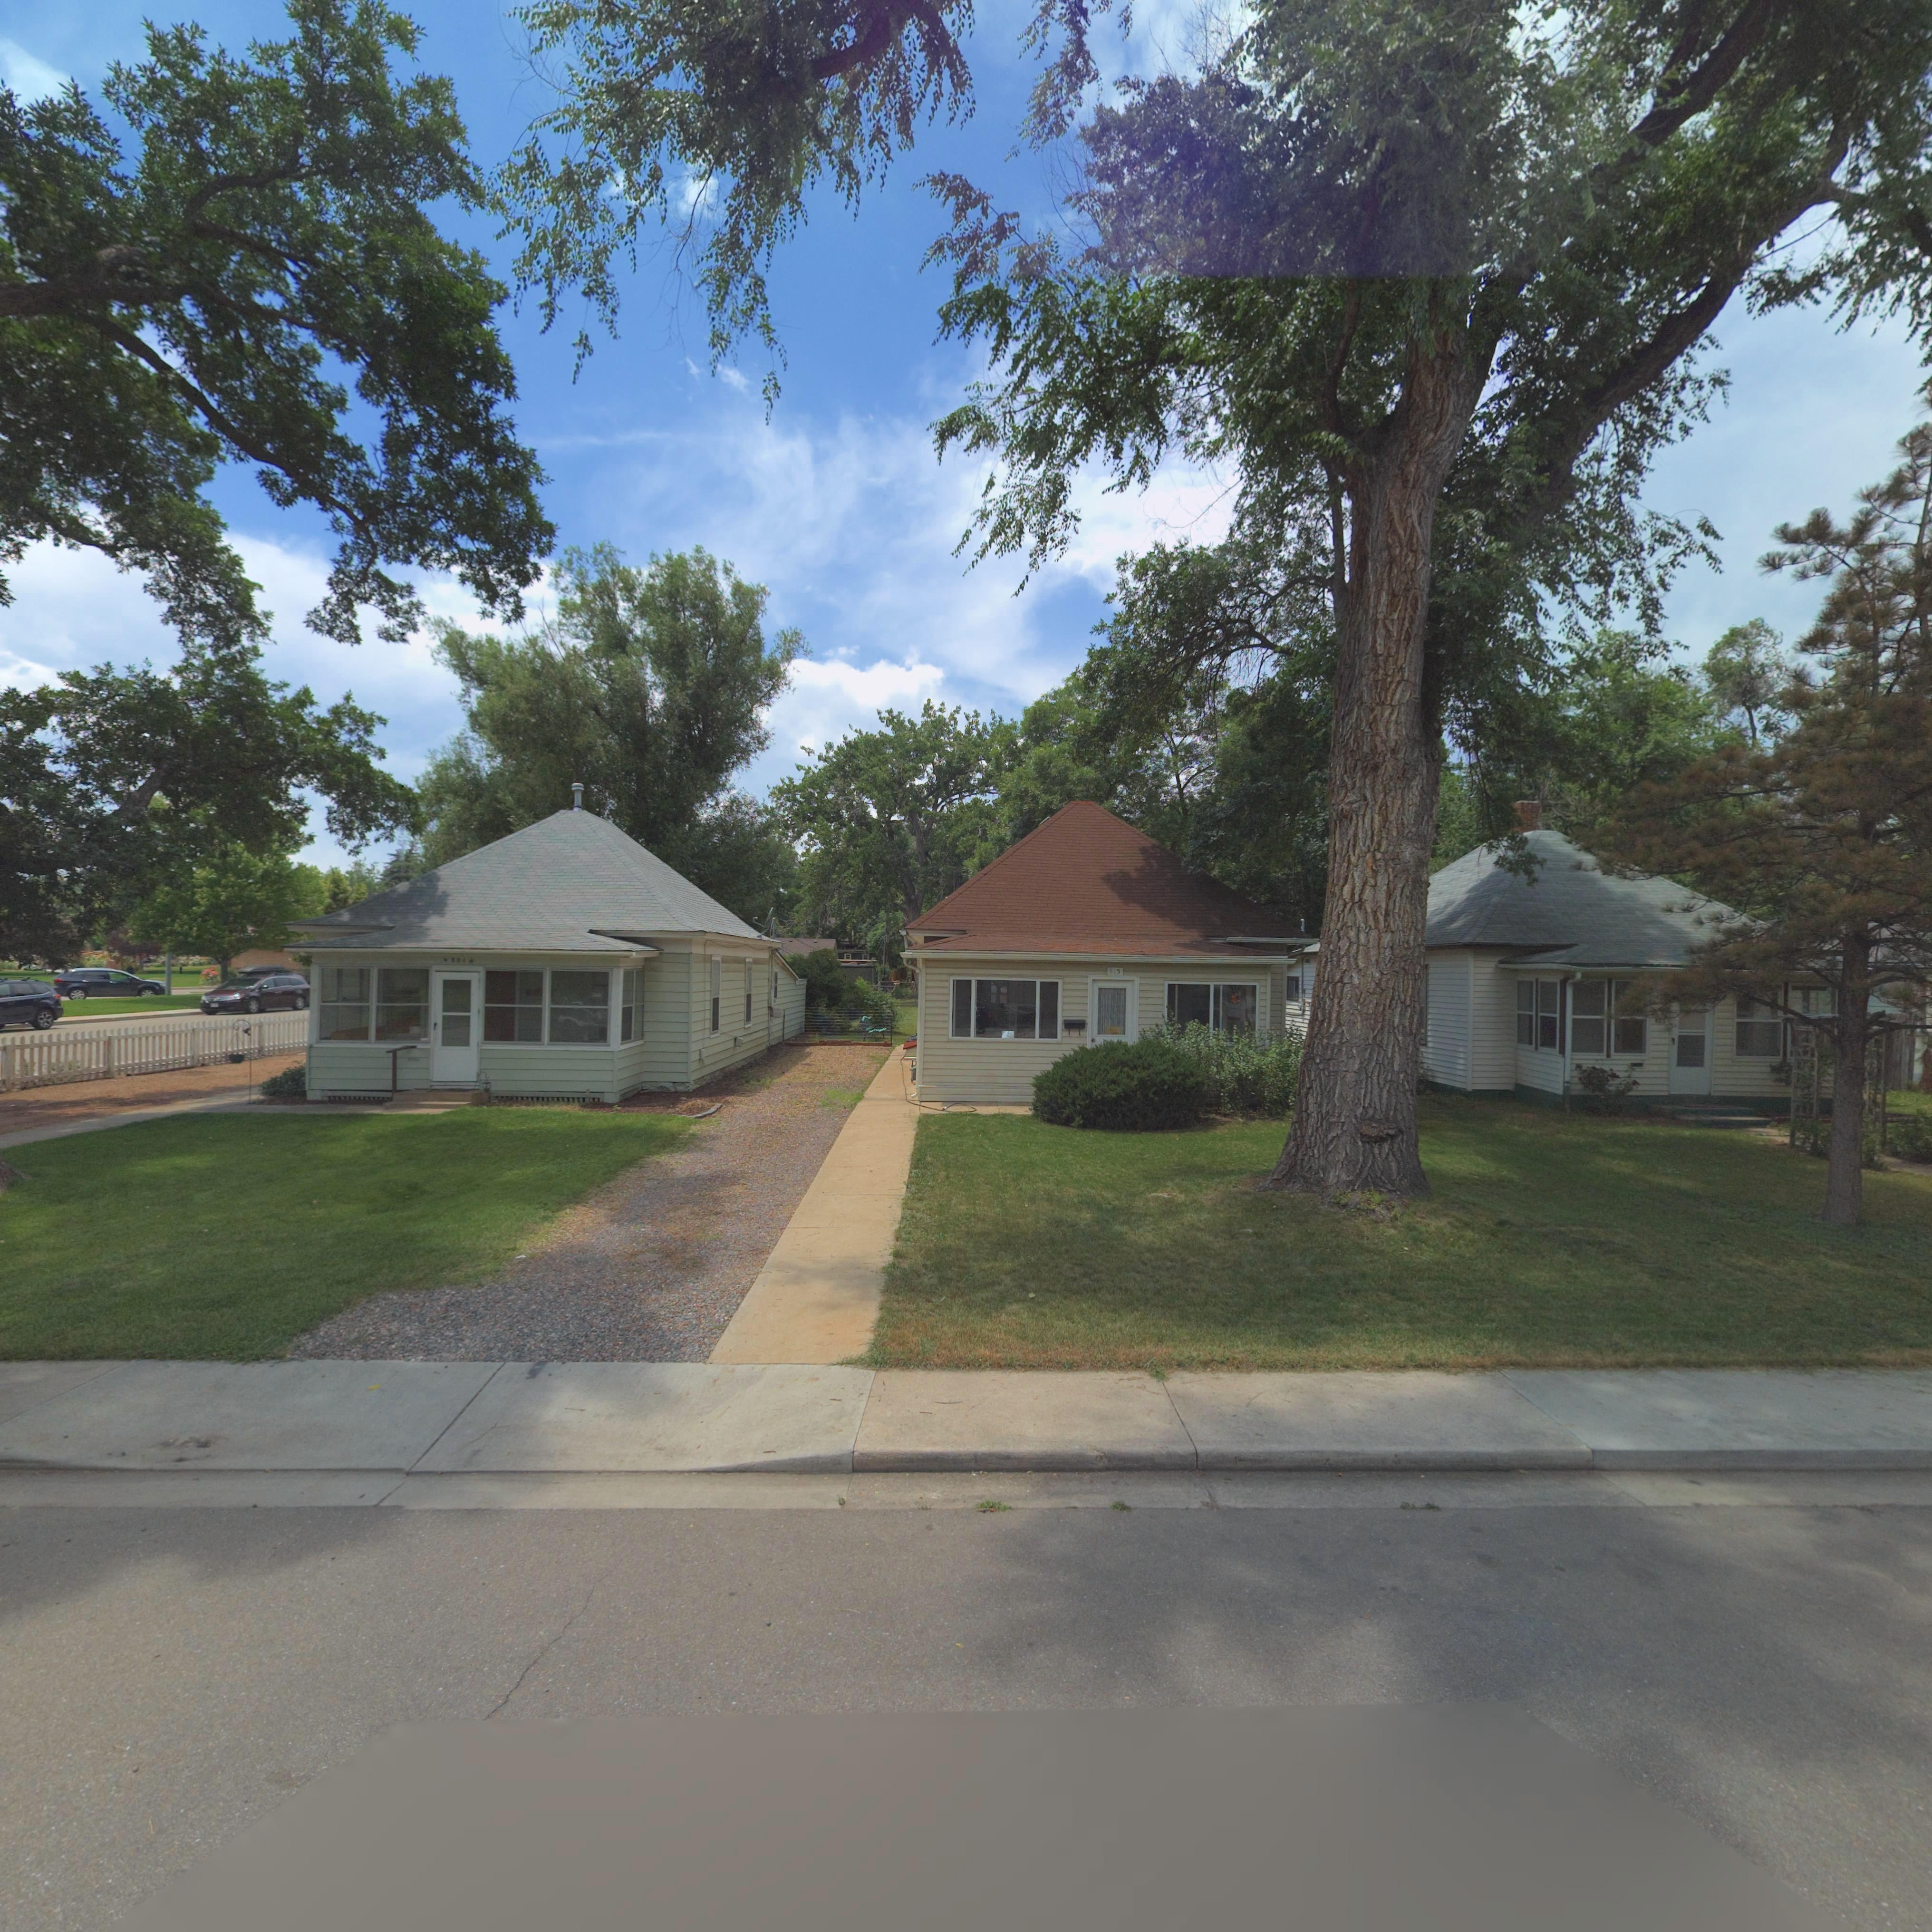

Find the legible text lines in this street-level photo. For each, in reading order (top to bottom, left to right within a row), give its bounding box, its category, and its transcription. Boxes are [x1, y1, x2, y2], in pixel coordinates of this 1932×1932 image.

[451, 957, 465, 963] StreetNumber: 801
[1109, 968, 1120, 974] StreetNumber: 815
[1655, 1018, 1665, 1024] StreetNumber: 82*